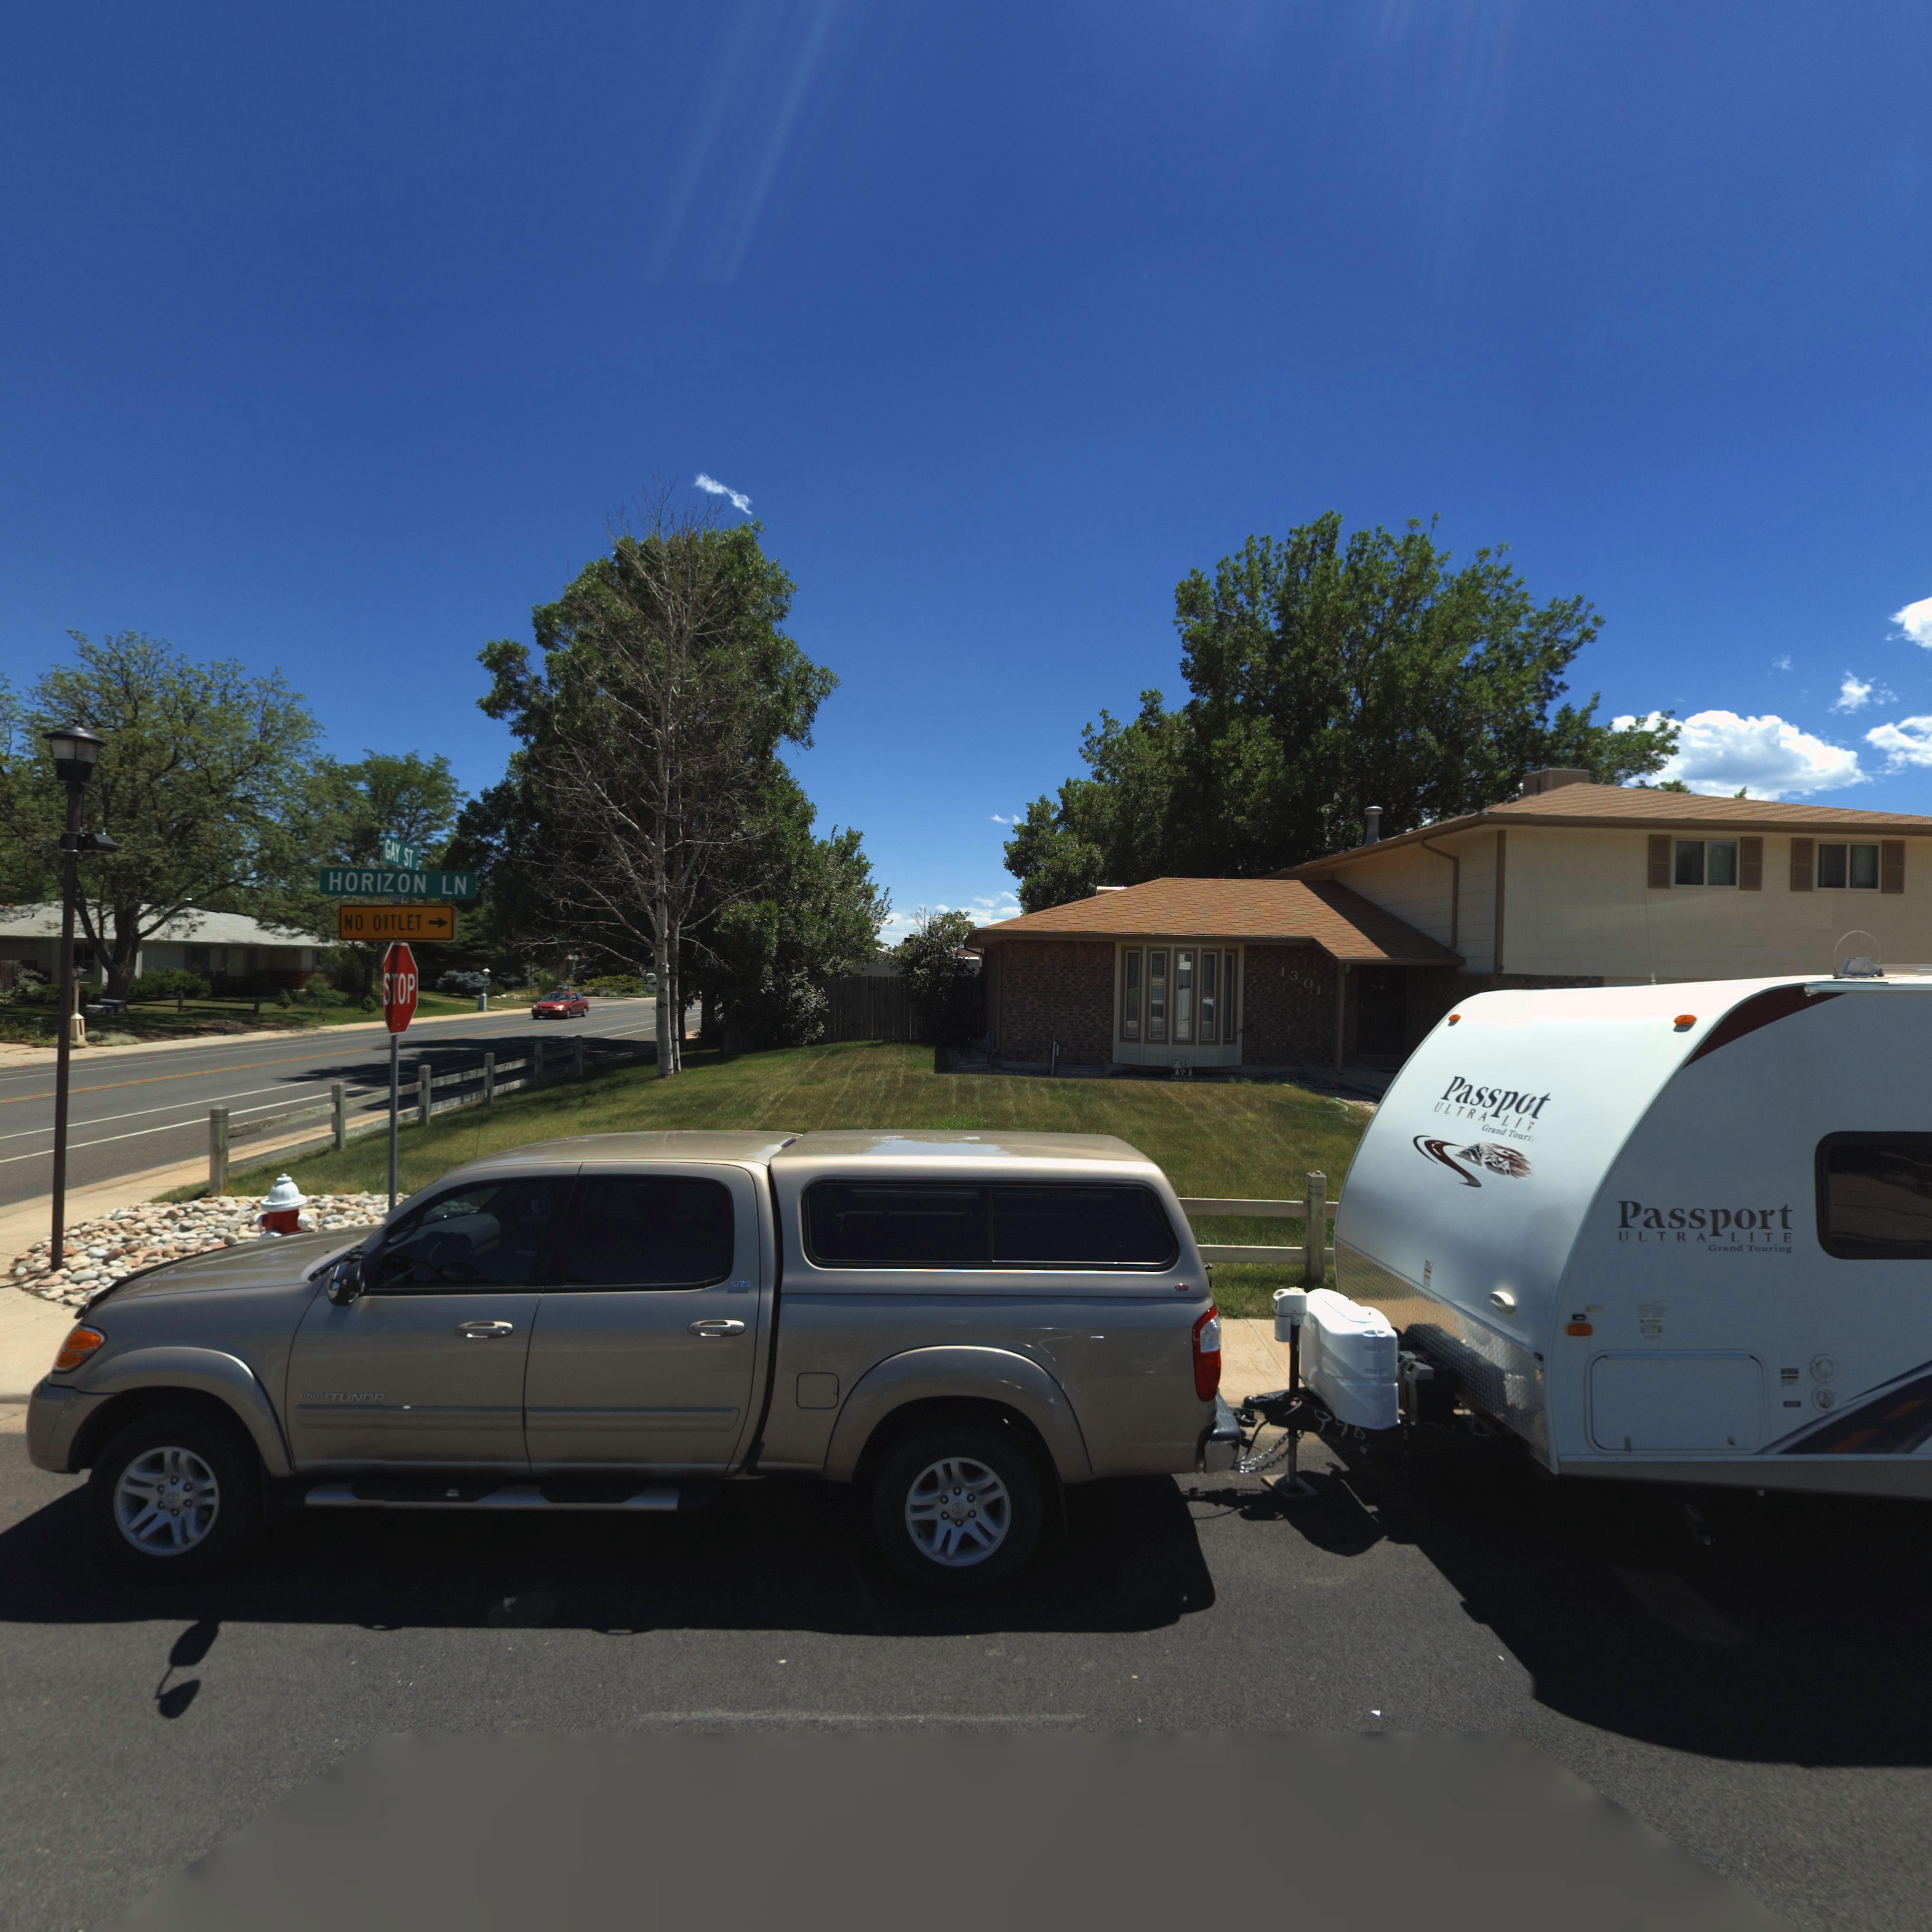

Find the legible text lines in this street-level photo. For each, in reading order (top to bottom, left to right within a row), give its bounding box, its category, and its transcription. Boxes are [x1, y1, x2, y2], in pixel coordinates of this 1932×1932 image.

[384, 839, 414, 869] StreetName: GAY ST
[328, 870, 467, 896] StreetName: HORIZON LN
[1281, 966, 1321, 995] StreetNumber: 1301